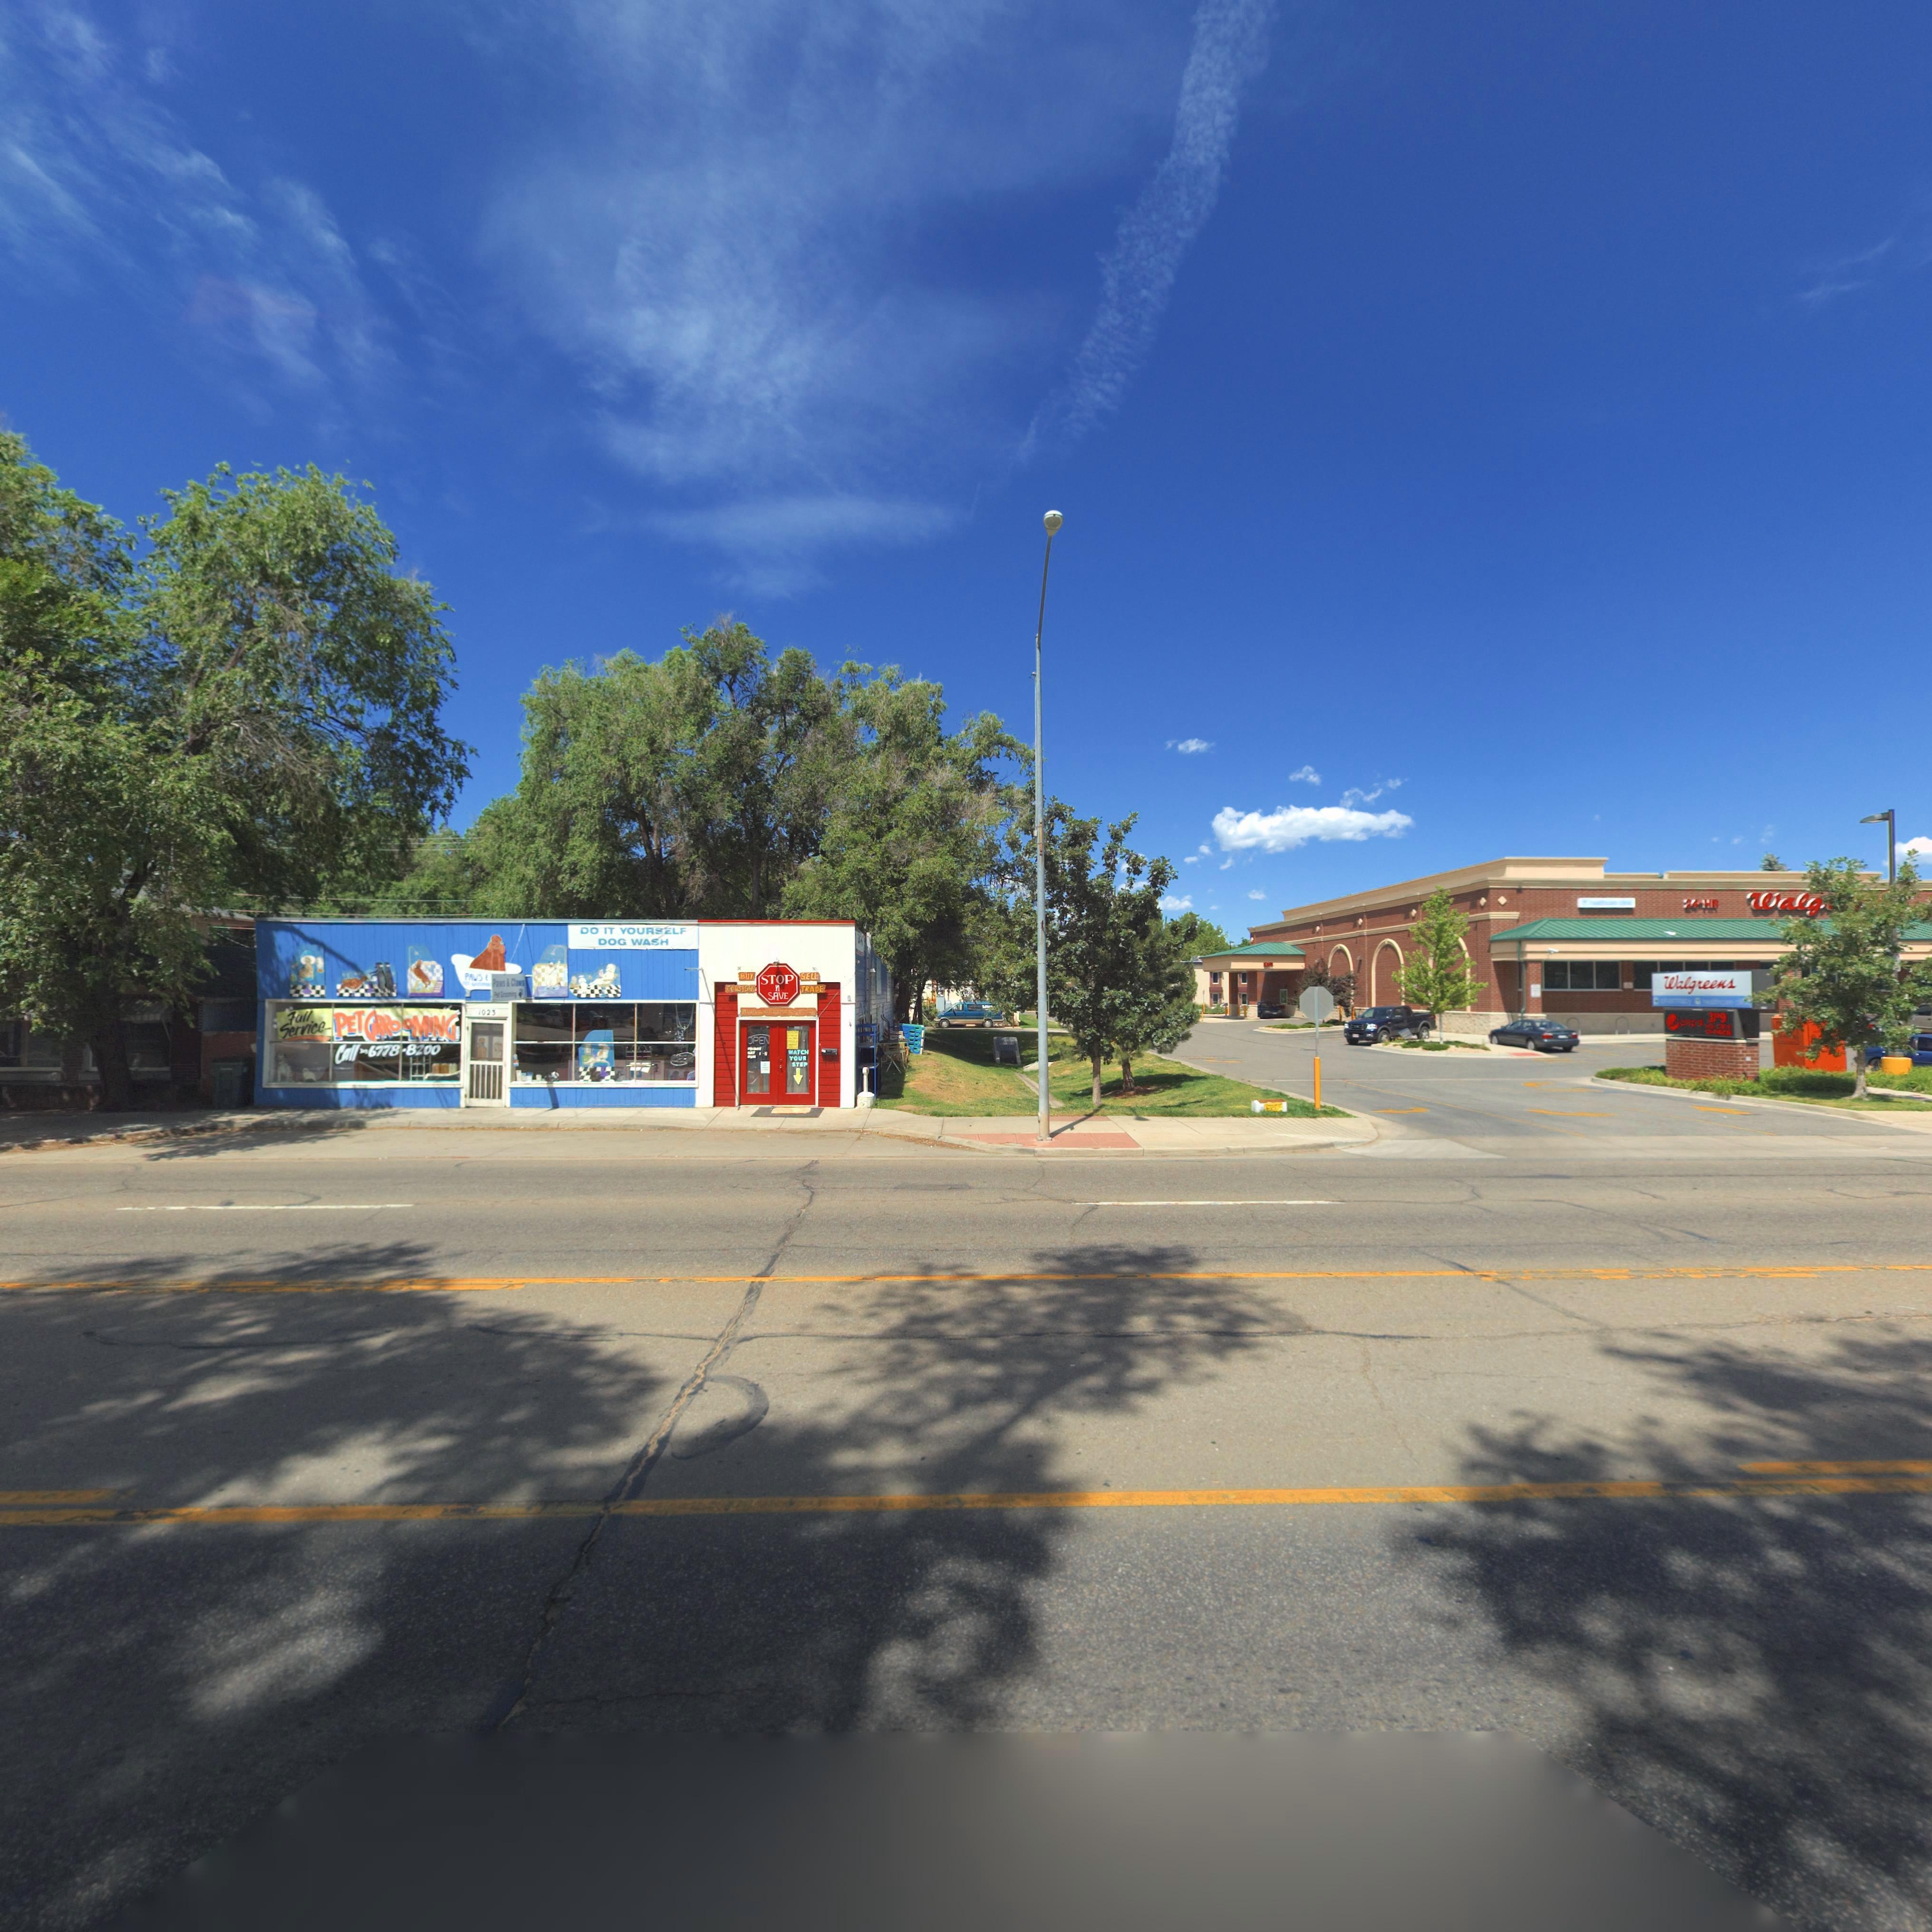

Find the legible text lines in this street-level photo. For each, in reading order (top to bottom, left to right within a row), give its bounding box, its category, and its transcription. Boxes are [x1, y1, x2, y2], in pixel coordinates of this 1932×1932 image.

[1746, 891, 1823, 917] BusinessName: Walg
[464, 972, 483, 982] BusinessName: PAWS
[492, 977, 525, 987] BusinessName: Paws & Claws
[760, 974, 794, 985] BusinessName: STOP
[775, 985, 780, 991] BusinessName: n
[1663, 974, 1736, 995] BusinessName: Walgreens
[767, 992, 788, 1001] BusinessName: SAVE
[478, 1008, 495, 1016] StreetNumber: 1023